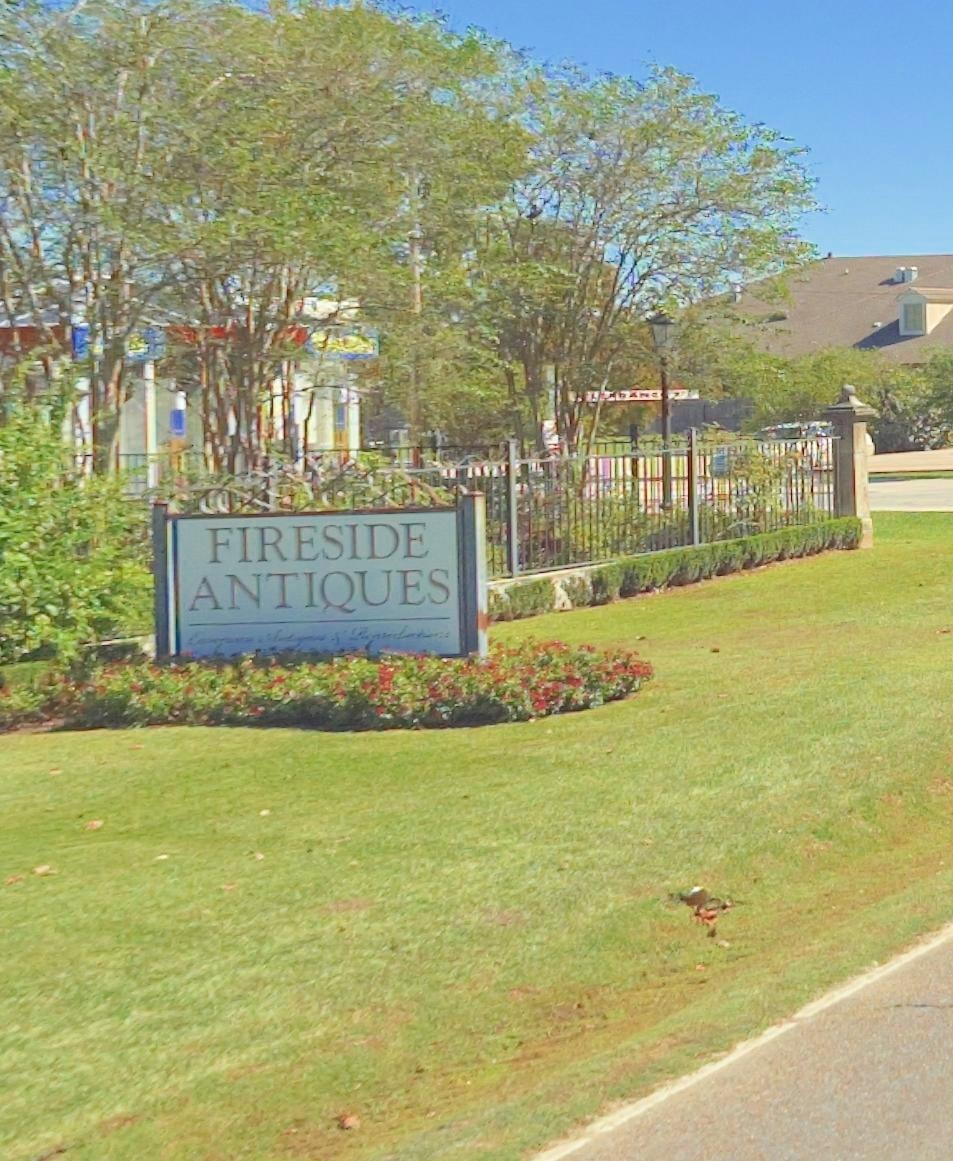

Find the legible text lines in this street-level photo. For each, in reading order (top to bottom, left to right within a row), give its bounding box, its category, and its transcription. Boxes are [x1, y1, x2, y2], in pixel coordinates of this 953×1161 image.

[204, 520, 431, 565] BusinessName: FIRESIDE
[185, 567, 451, 615] BusinessName: ANTIQUES